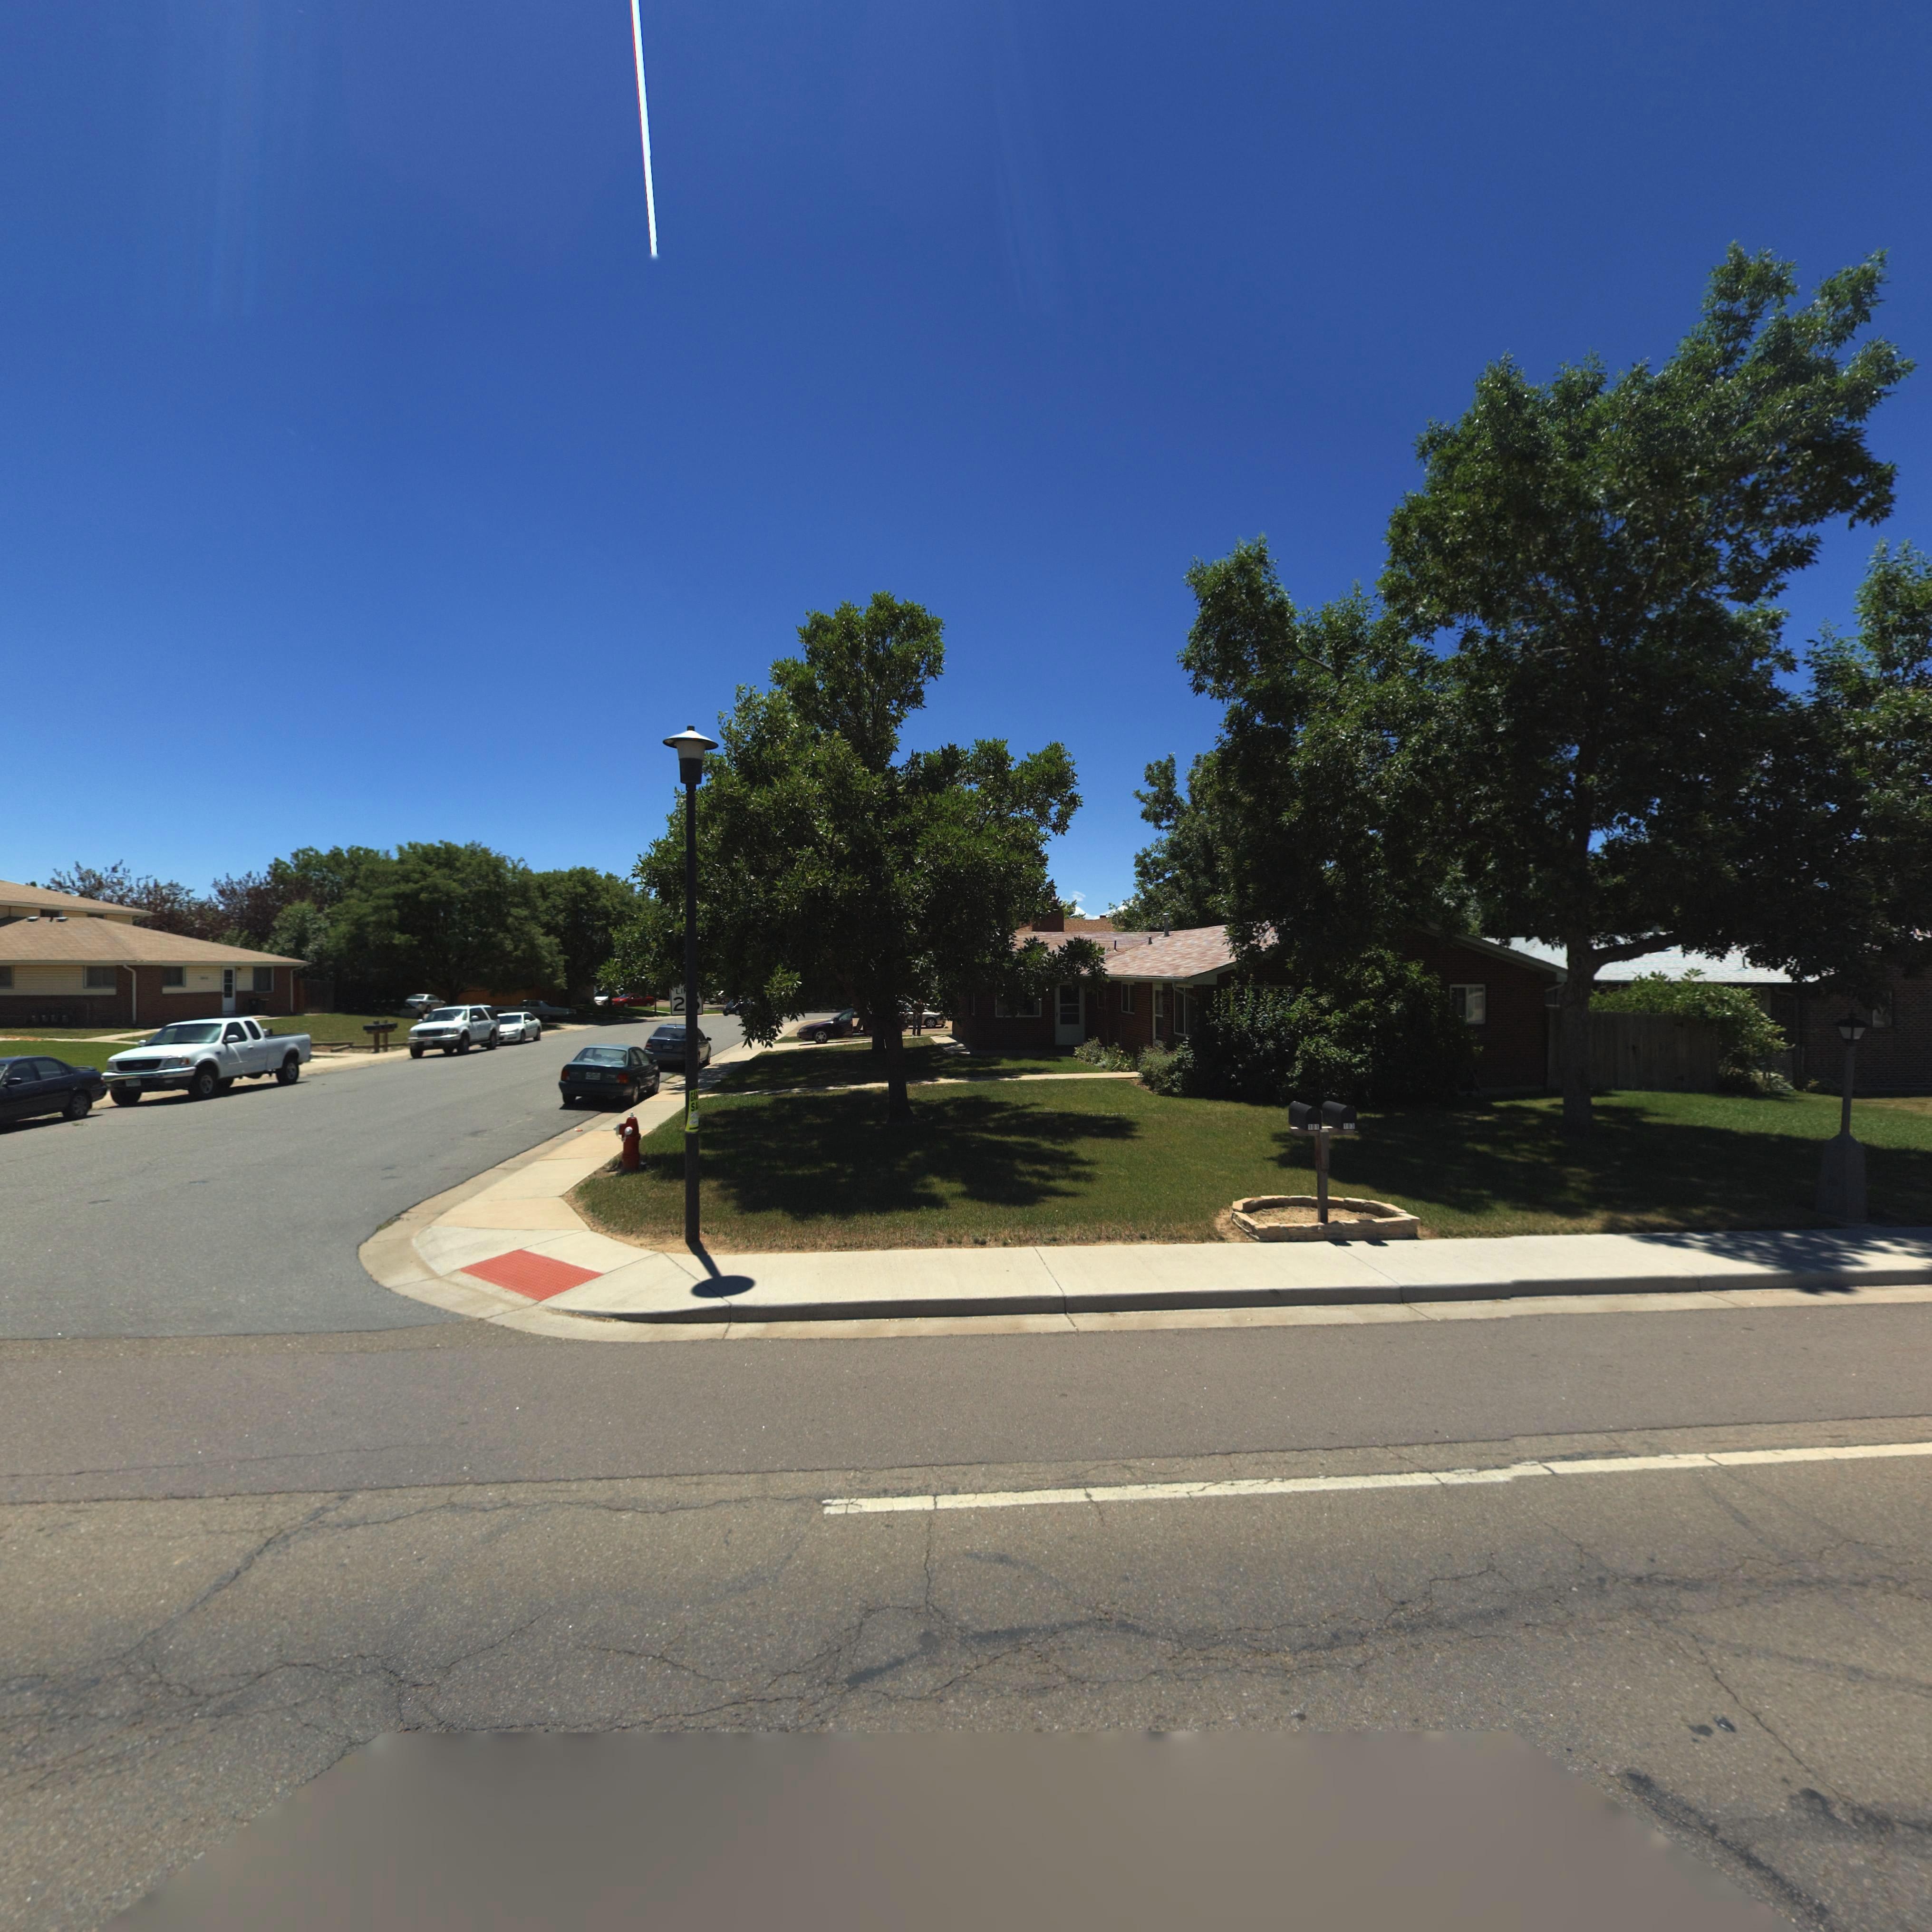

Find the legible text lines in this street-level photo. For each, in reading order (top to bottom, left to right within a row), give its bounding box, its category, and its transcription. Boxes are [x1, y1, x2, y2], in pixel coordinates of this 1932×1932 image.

[1309, 1124, 1318, 1130] StreetNumber: 101
[1344, 1122, 1353, 1129] StreetNumber: 103